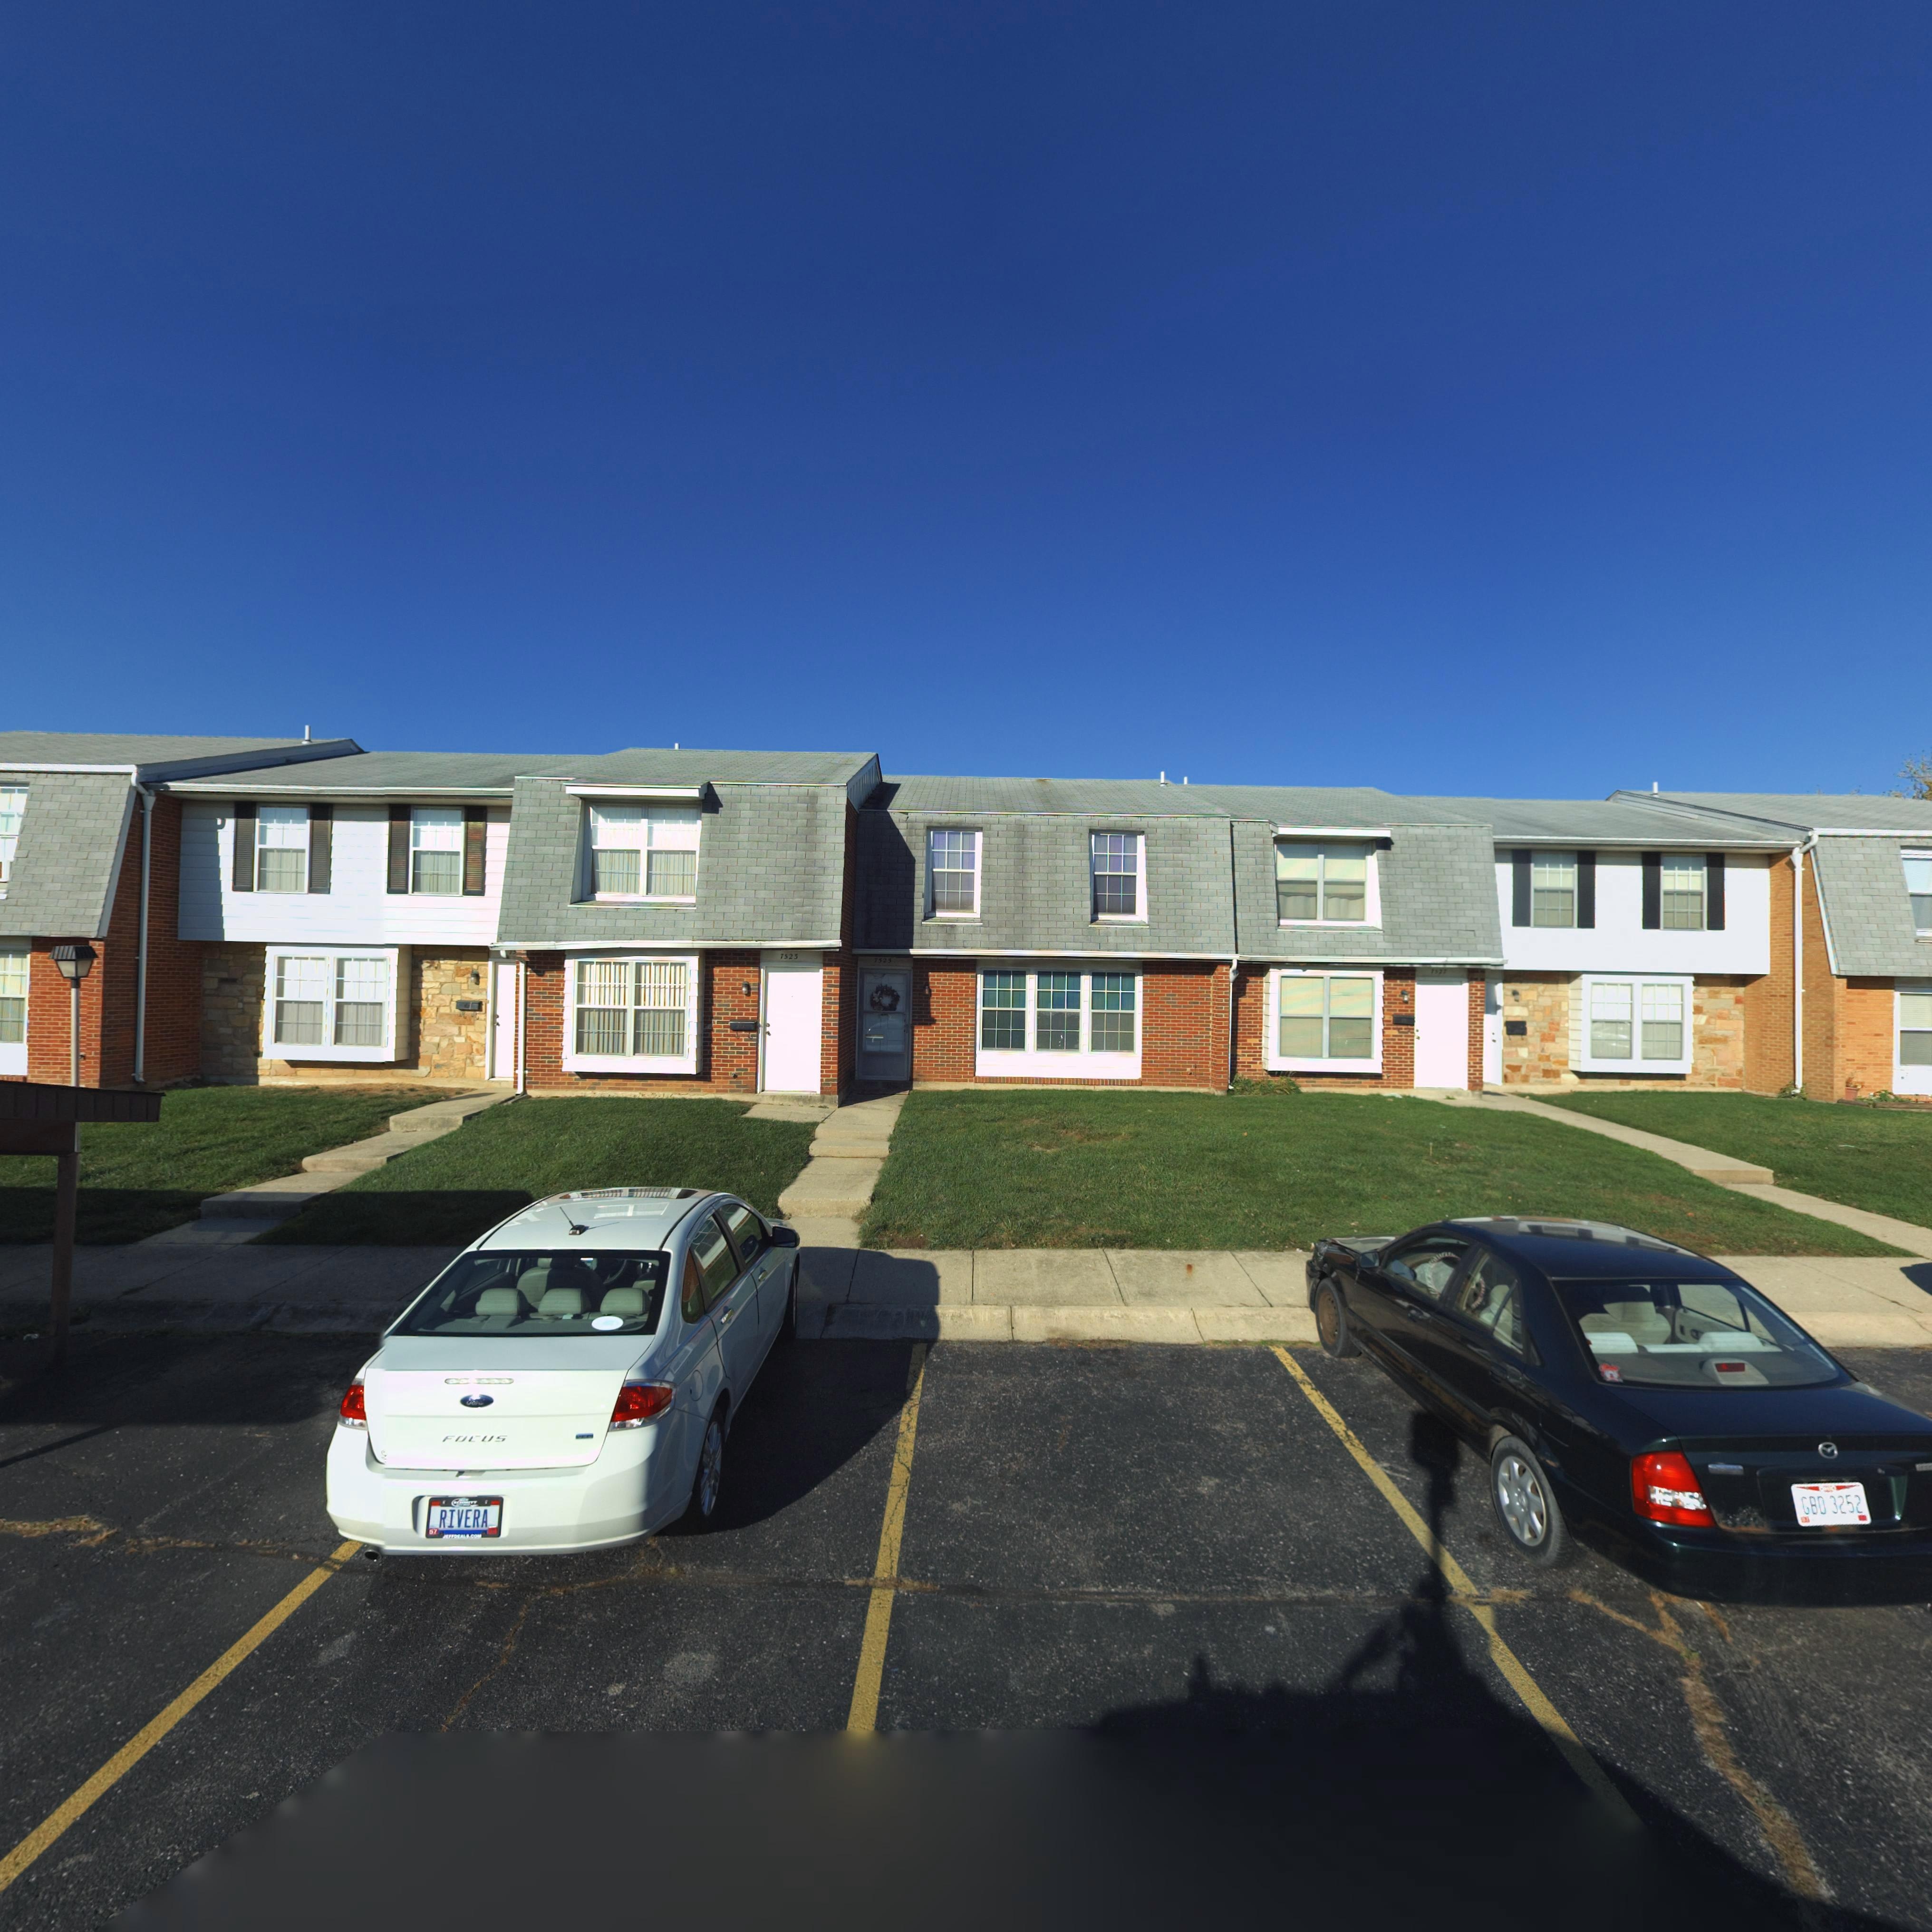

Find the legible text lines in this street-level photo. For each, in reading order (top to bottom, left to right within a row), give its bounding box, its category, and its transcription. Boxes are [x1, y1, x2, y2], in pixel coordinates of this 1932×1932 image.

[780, 953, 798, 960] StreetNumber: 7523
[873, 957, 892, 964] StreetNumber: 7525
[1430, 968, 1448, 975] StreetNumber: 7527